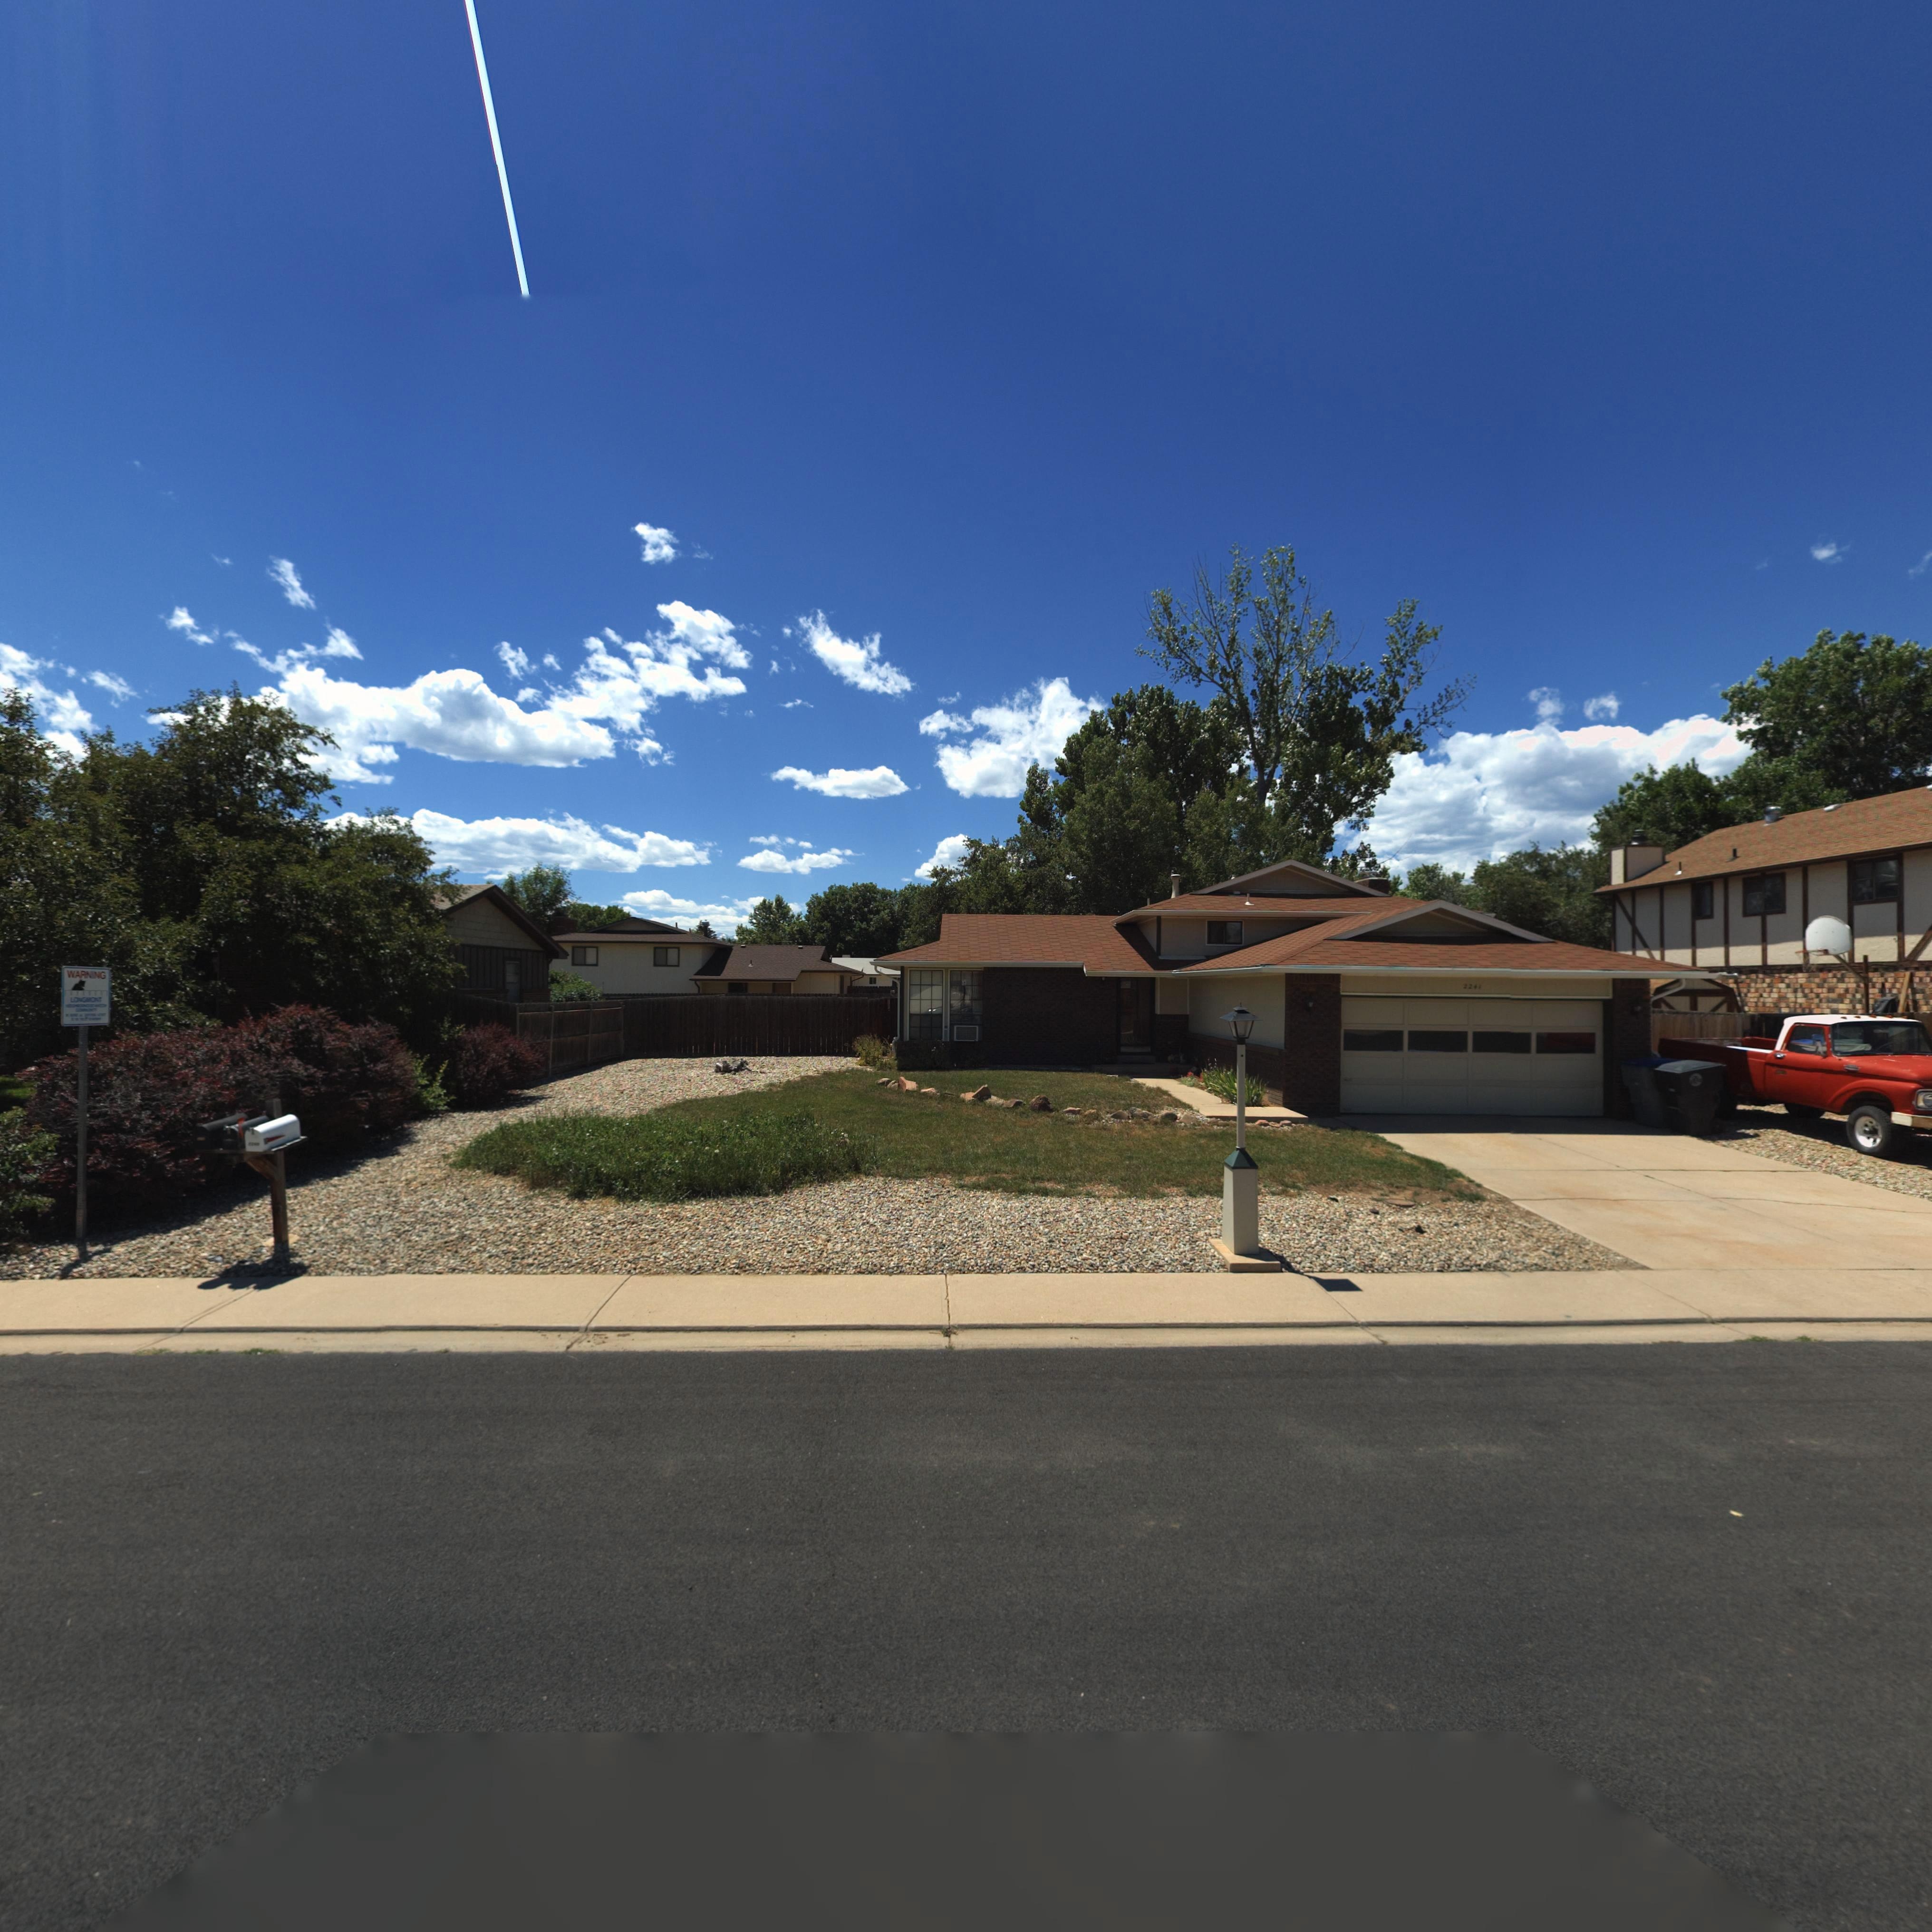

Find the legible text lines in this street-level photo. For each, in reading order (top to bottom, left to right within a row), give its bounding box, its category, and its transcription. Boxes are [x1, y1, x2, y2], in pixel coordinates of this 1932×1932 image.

[1463, 983, 1481, 989] StreetNumber: 224*